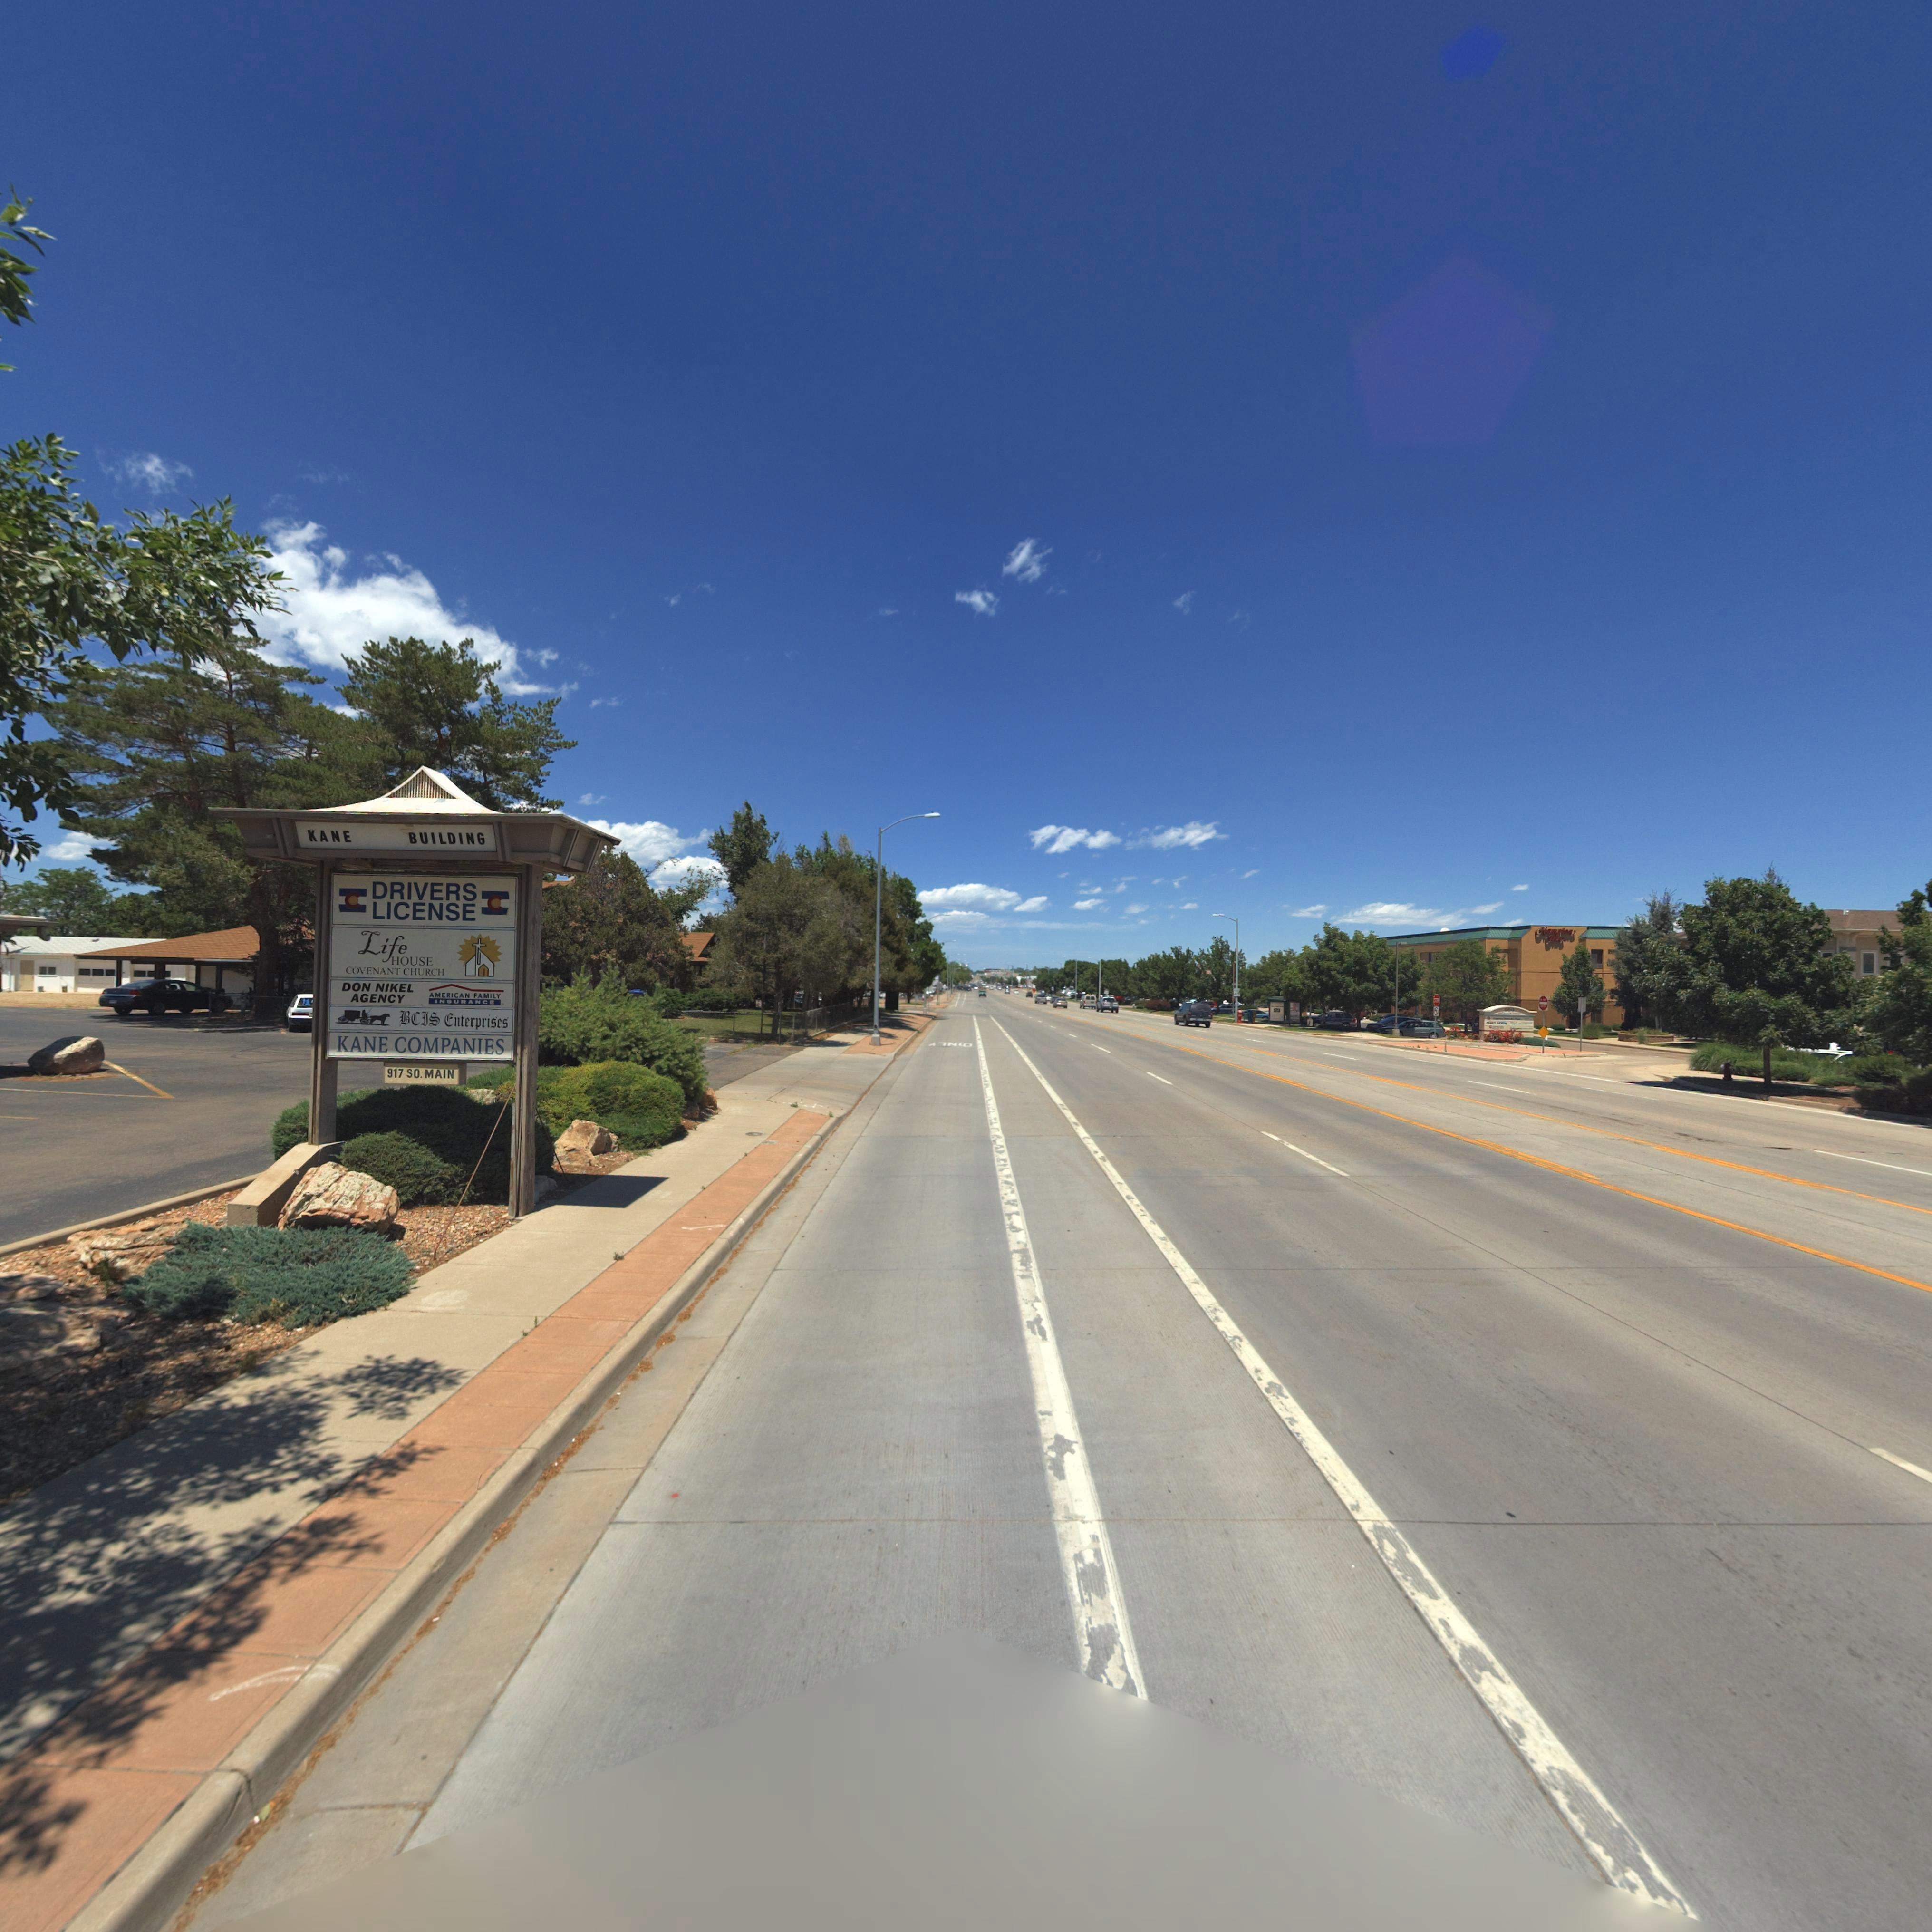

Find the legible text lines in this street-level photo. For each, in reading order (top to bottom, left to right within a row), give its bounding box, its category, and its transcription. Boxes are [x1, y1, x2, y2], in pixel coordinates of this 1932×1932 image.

[356, 929, 407, 963] BusinessName: Life
[391, 956, 434, 966] BusinessName: HOUSE
[345, 966, 445, 976] BusinessName: COVENANT CHURCH
[342, 982, 414, 993] BusinessName: DON NIKEL
[349, 993, 406, 1004] BusinessName: AGENCY
[434, 999, 495, 1005] BusinessName: INSURANCE
[429, 992, 502, 998] BusinessName: AMERICAN FAMILY
[399, 1009, 508, 1030] BusinessName: BCIS Enterprises
[336, 1034, 506, 1055] BusinessName: KANE COMPANIES
[386, 1068, 404, 1078] StreetNumber: 917
[406, 1068, 454, 1079] StreetName: SO. MAIN